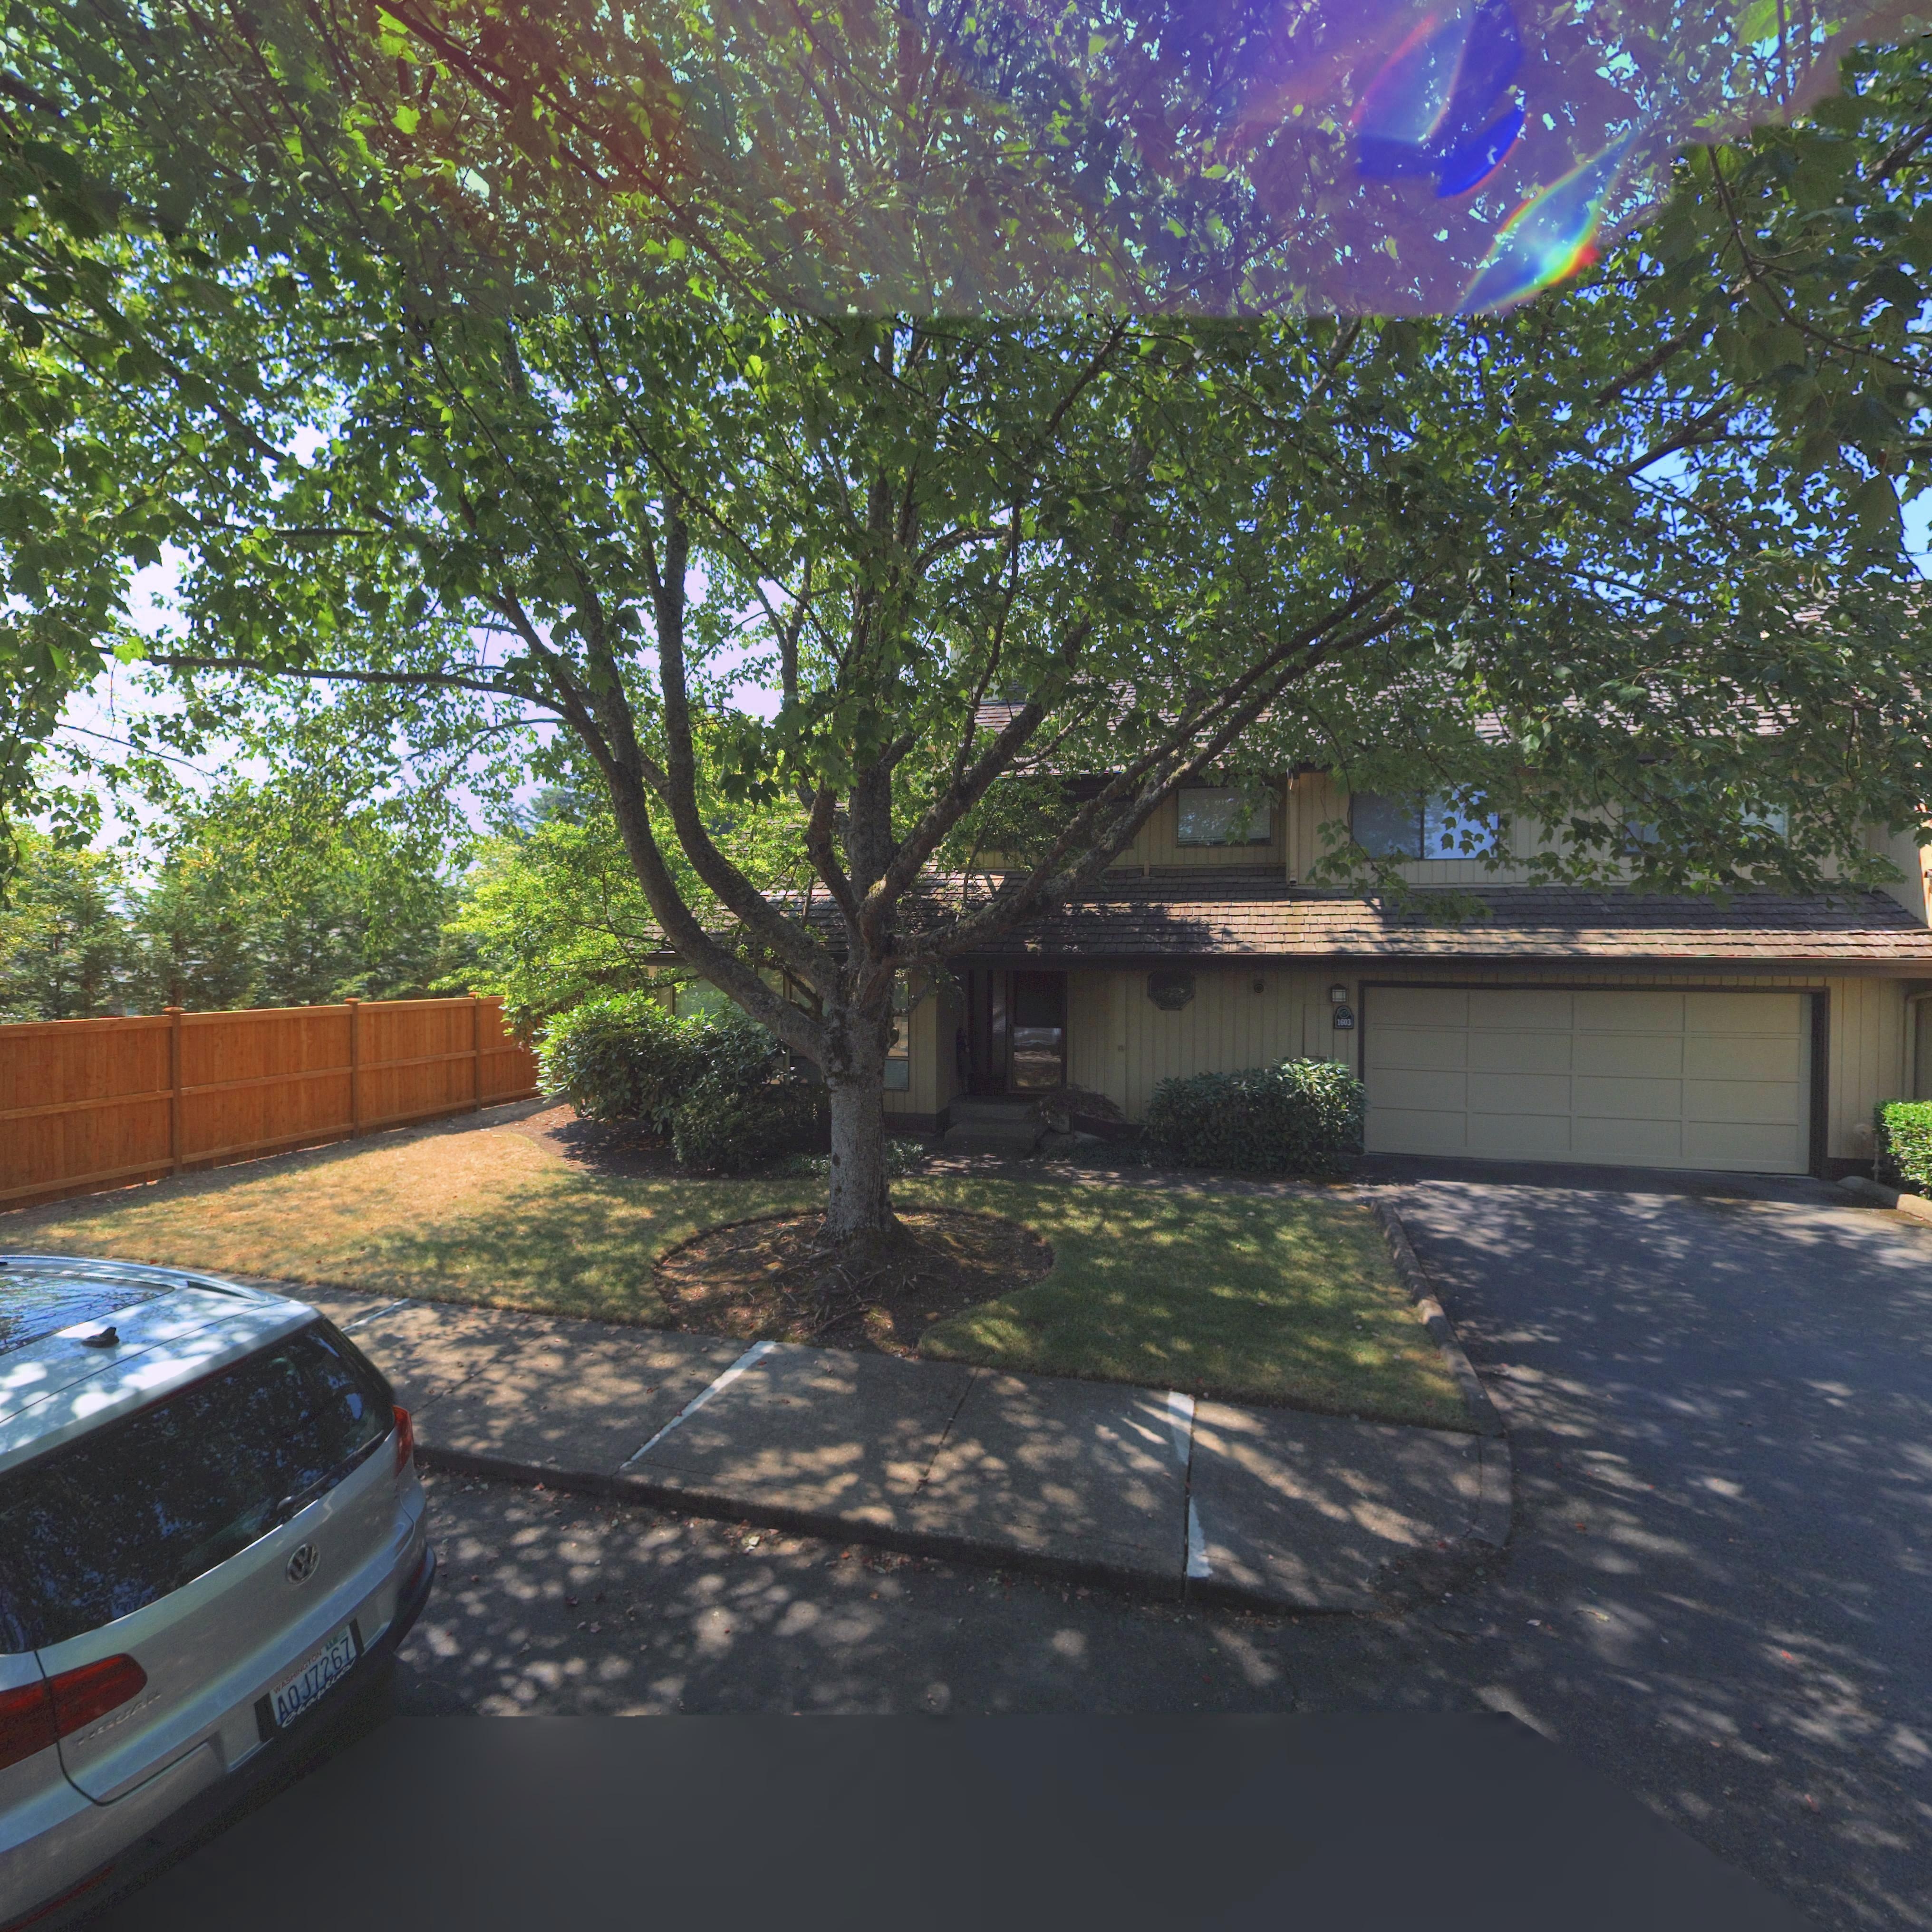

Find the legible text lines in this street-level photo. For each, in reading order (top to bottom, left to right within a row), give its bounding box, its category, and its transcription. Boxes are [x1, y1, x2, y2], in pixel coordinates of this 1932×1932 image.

[1336, 1018, 1352, 1026] StreetNumber: 1603